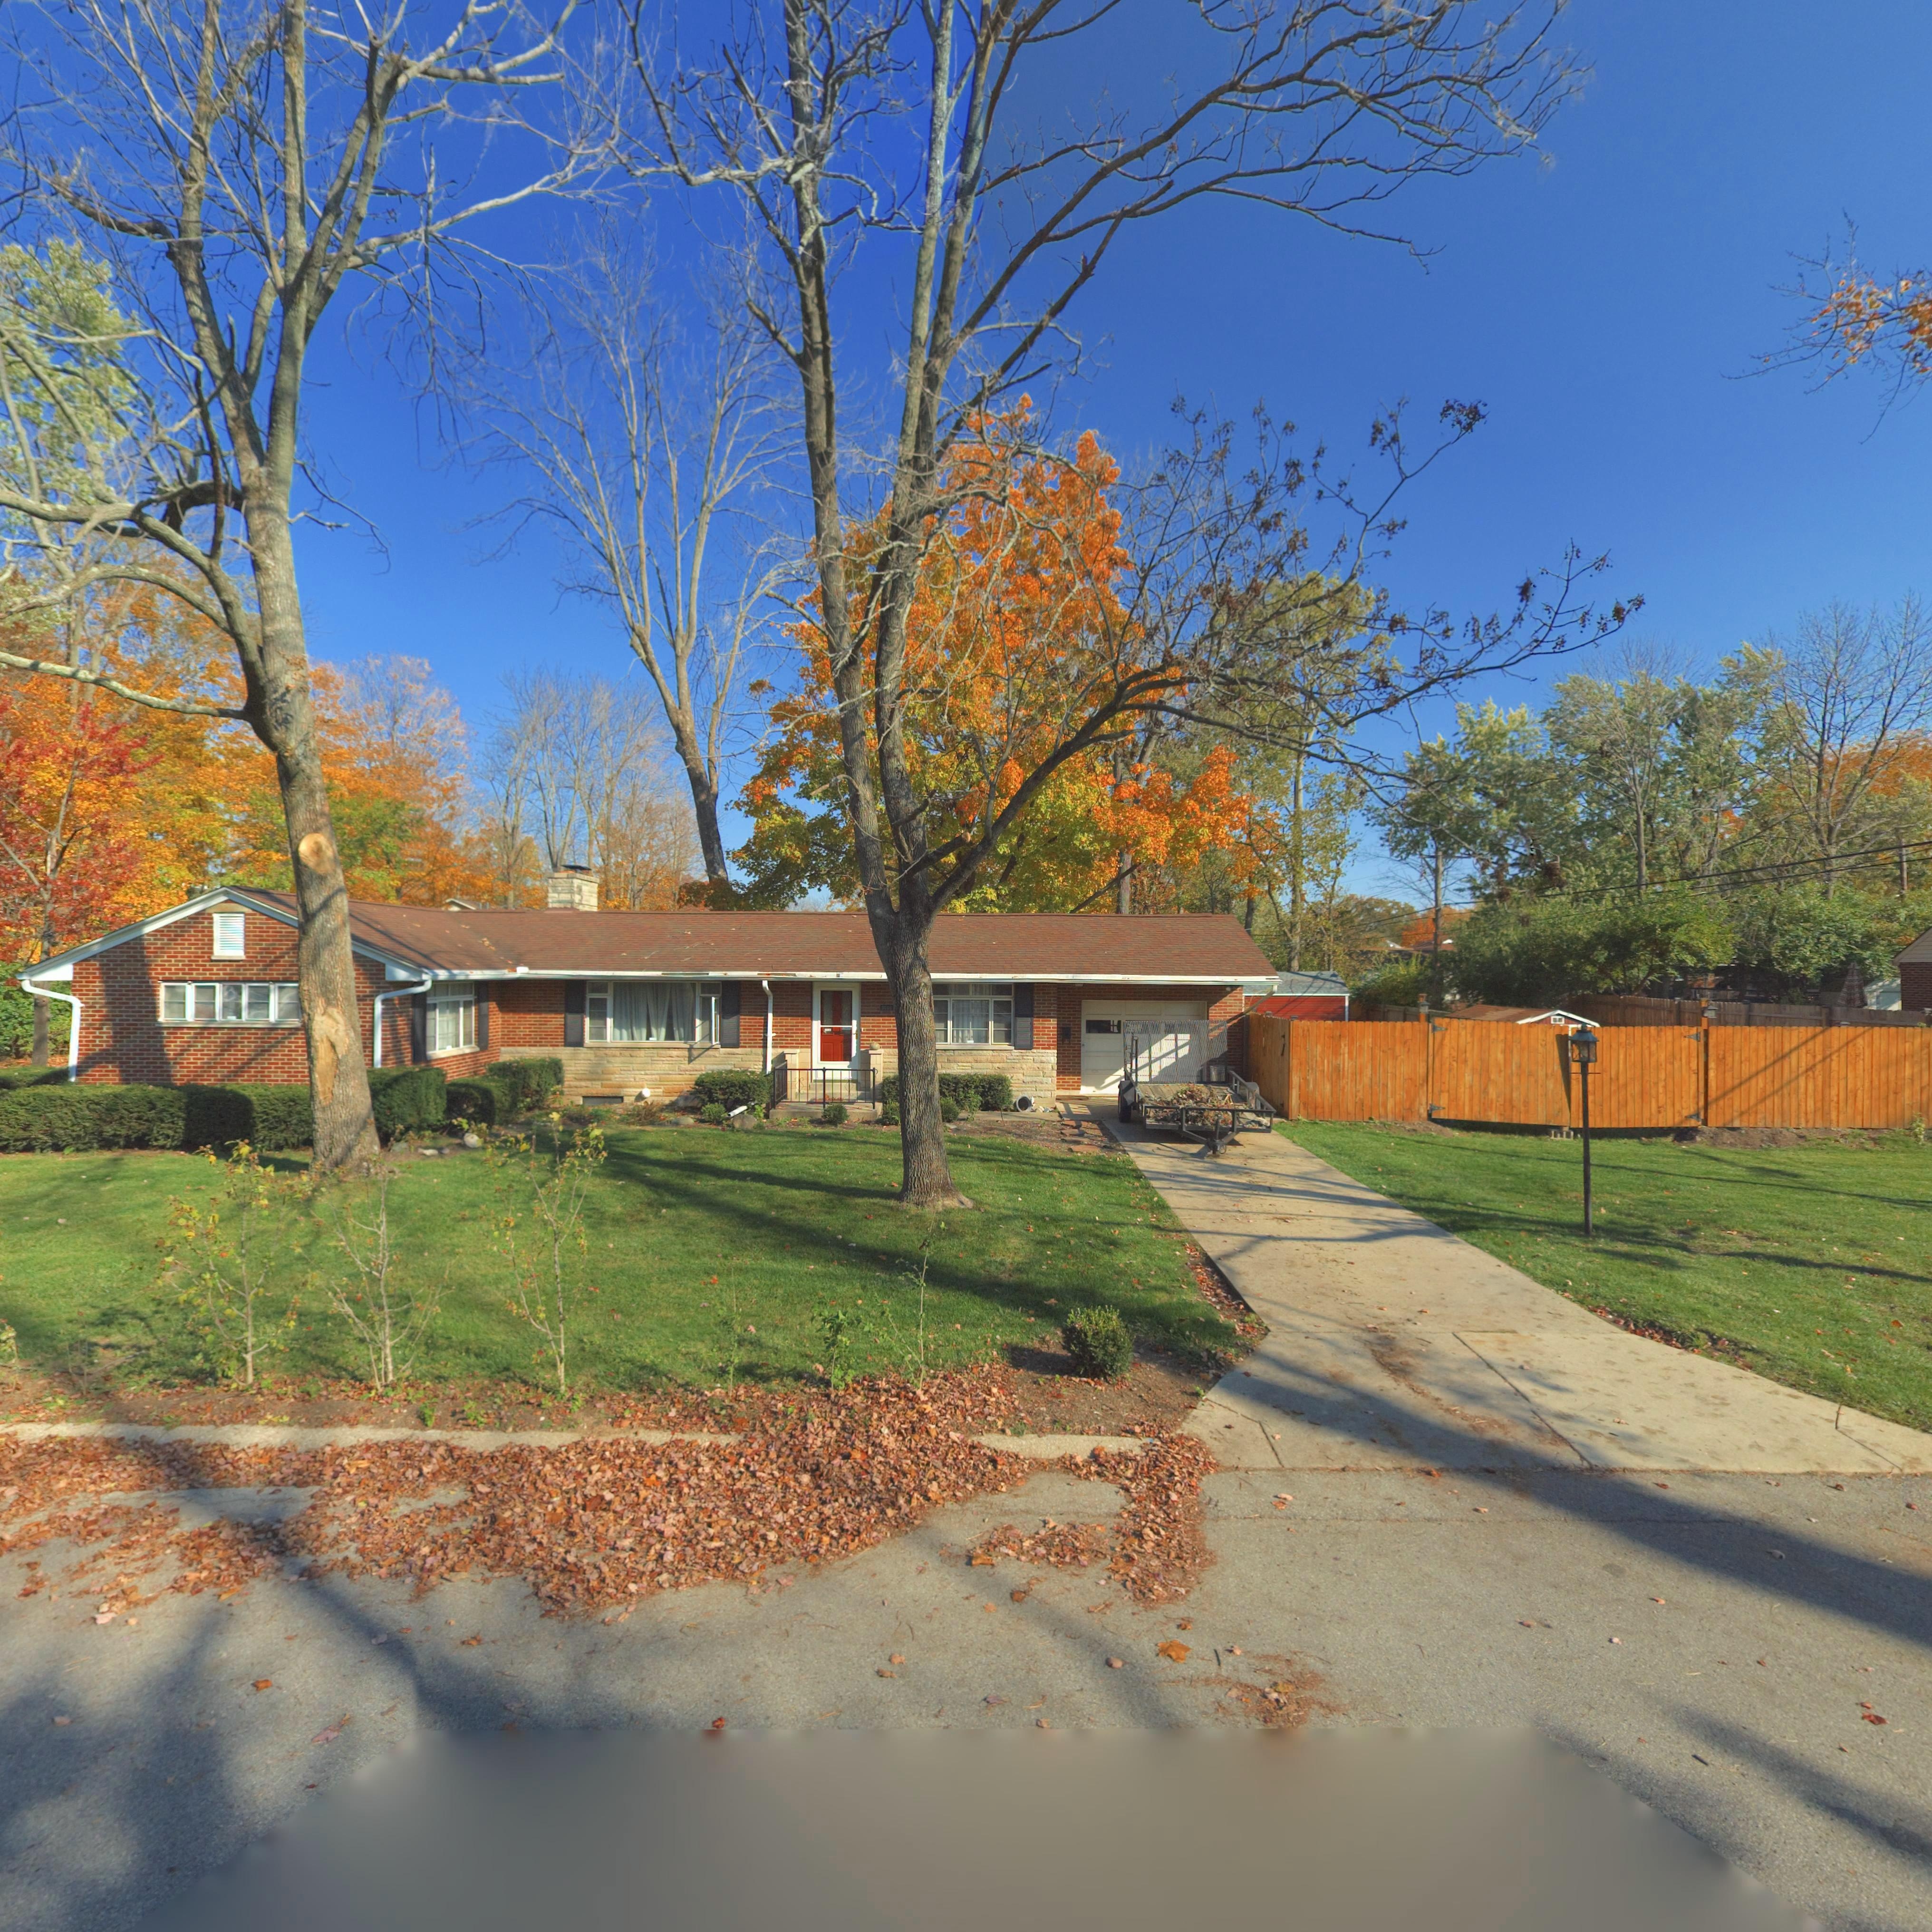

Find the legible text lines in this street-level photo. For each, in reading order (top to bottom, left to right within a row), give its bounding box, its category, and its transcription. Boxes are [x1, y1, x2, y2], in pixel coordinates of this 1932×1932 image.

[881, 1005, 892, 1010] StreetNumber: 3***